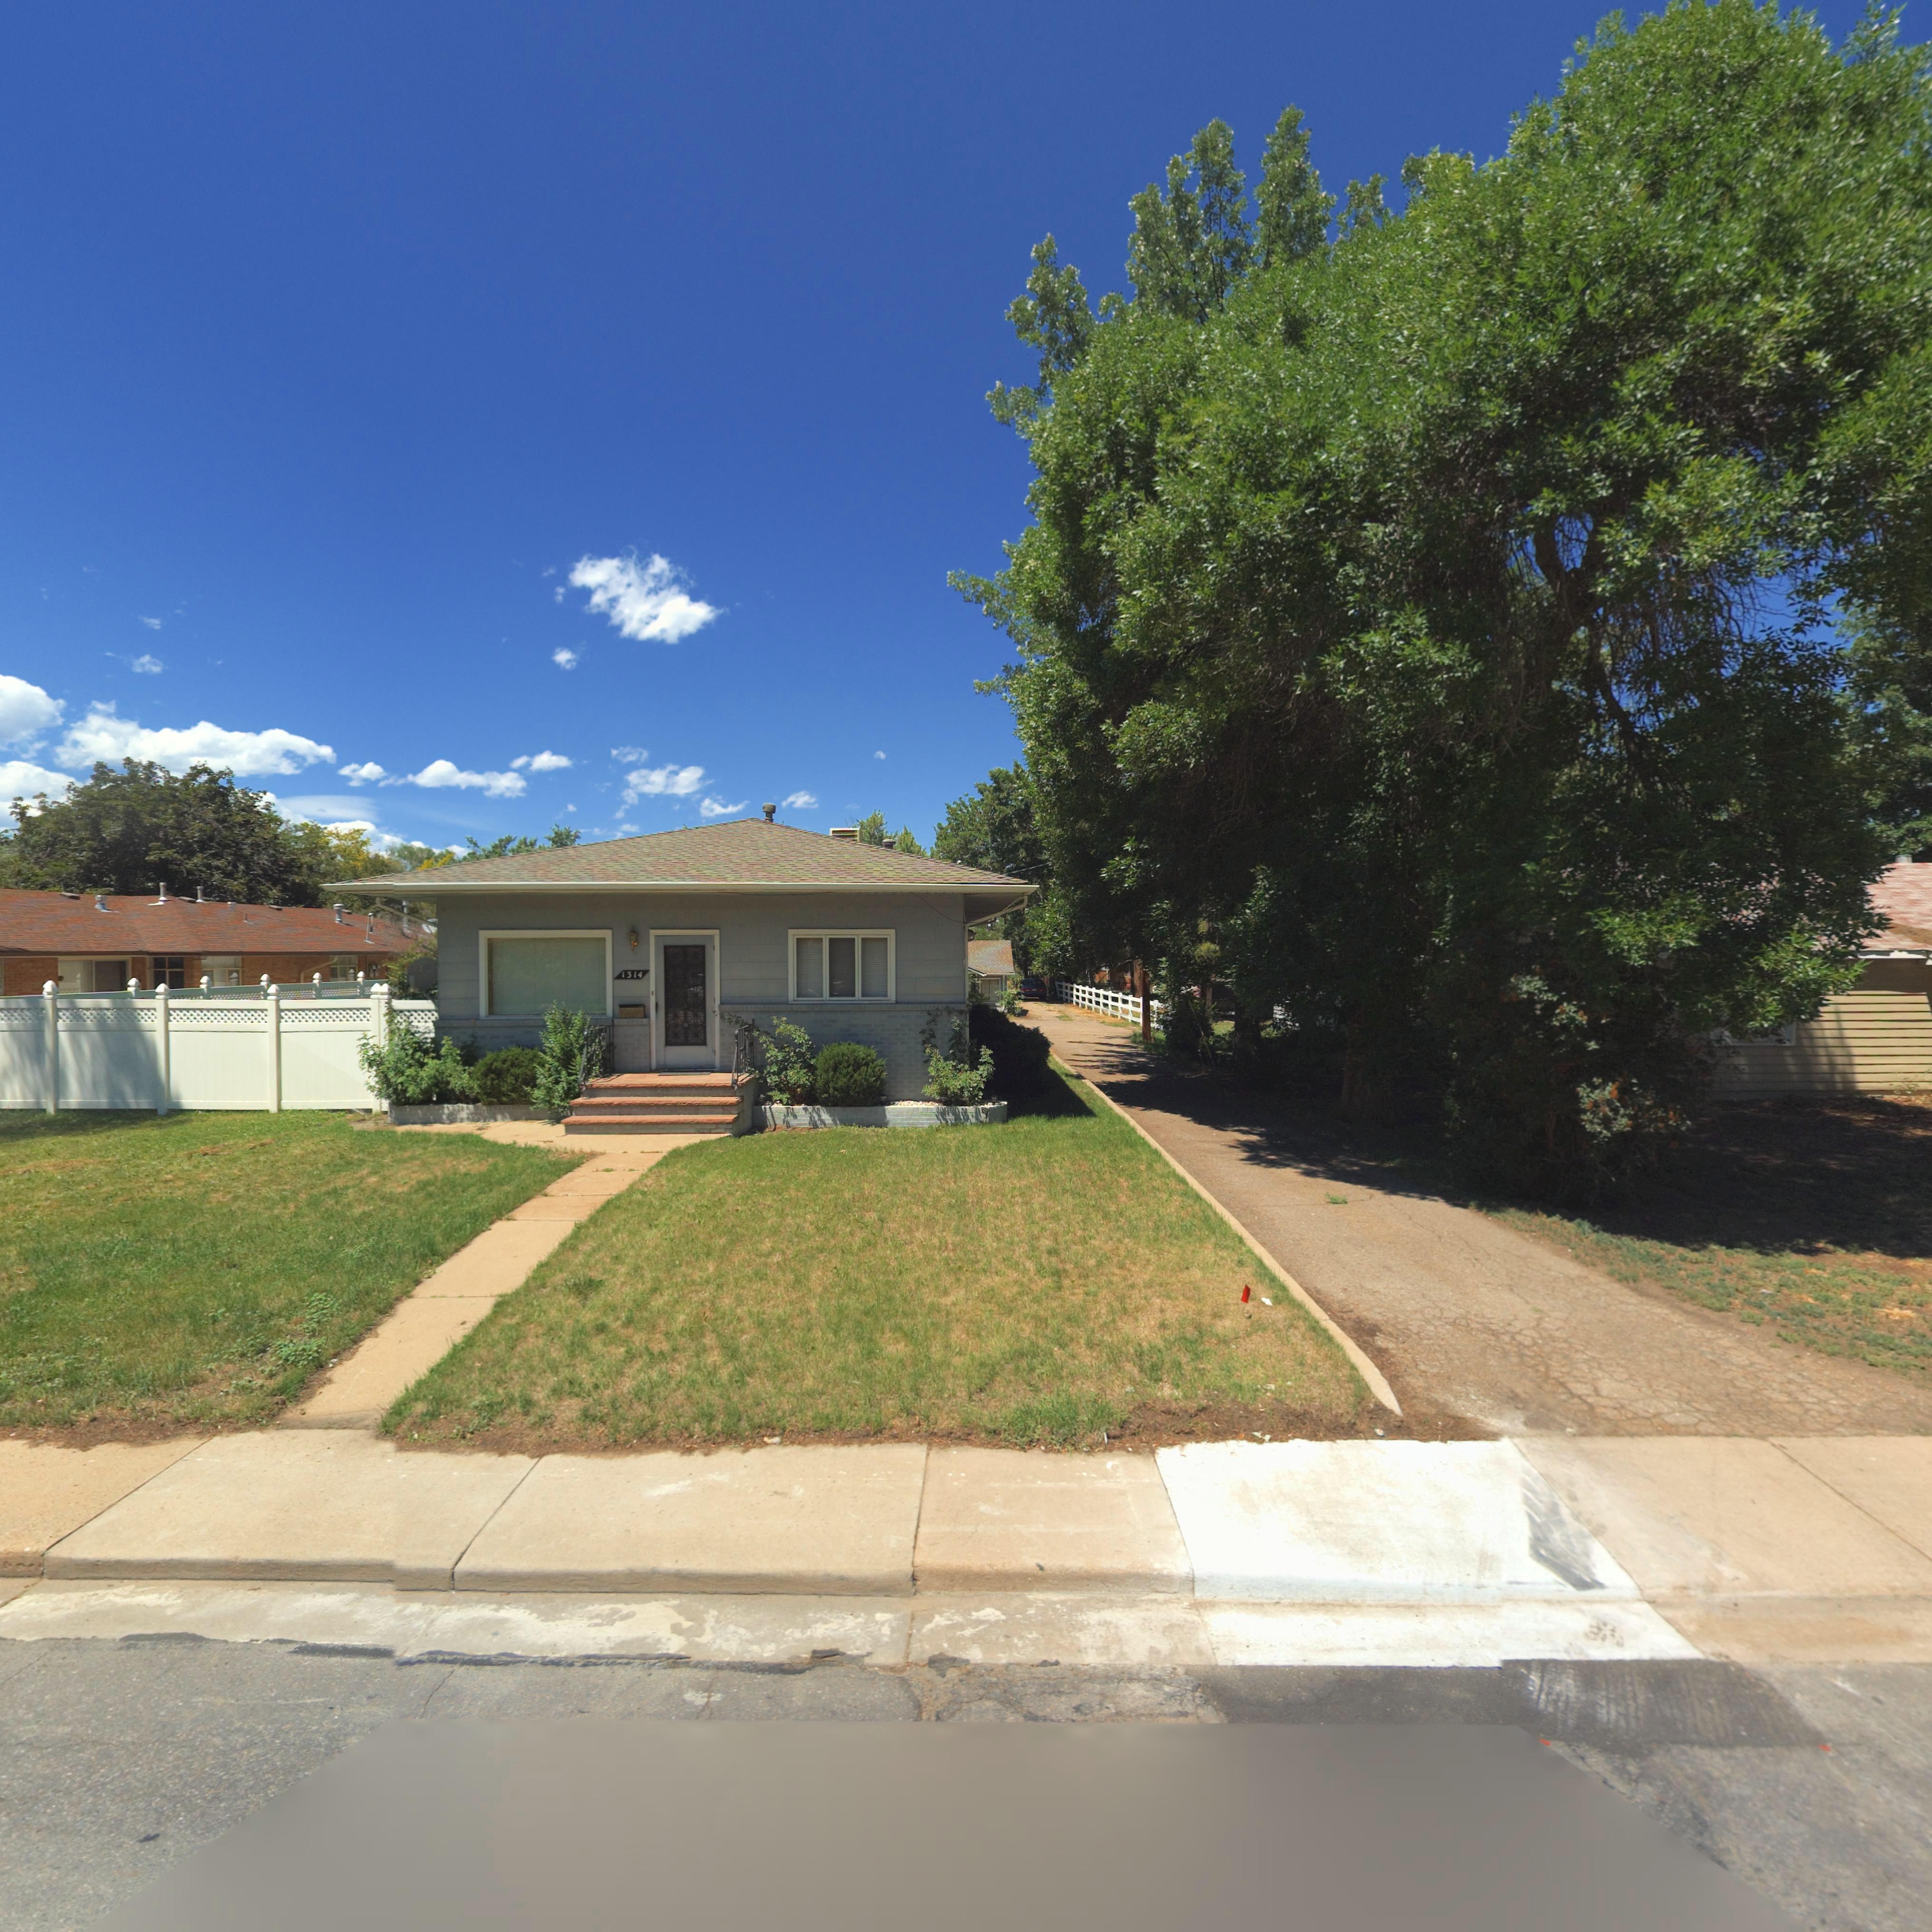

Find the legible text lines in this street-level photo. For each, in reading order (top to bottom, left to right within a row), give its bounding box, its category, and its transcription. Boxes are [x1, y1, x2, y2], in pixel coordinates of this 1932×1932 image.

[622, 971, 643, 978] StreetNumber: 1314